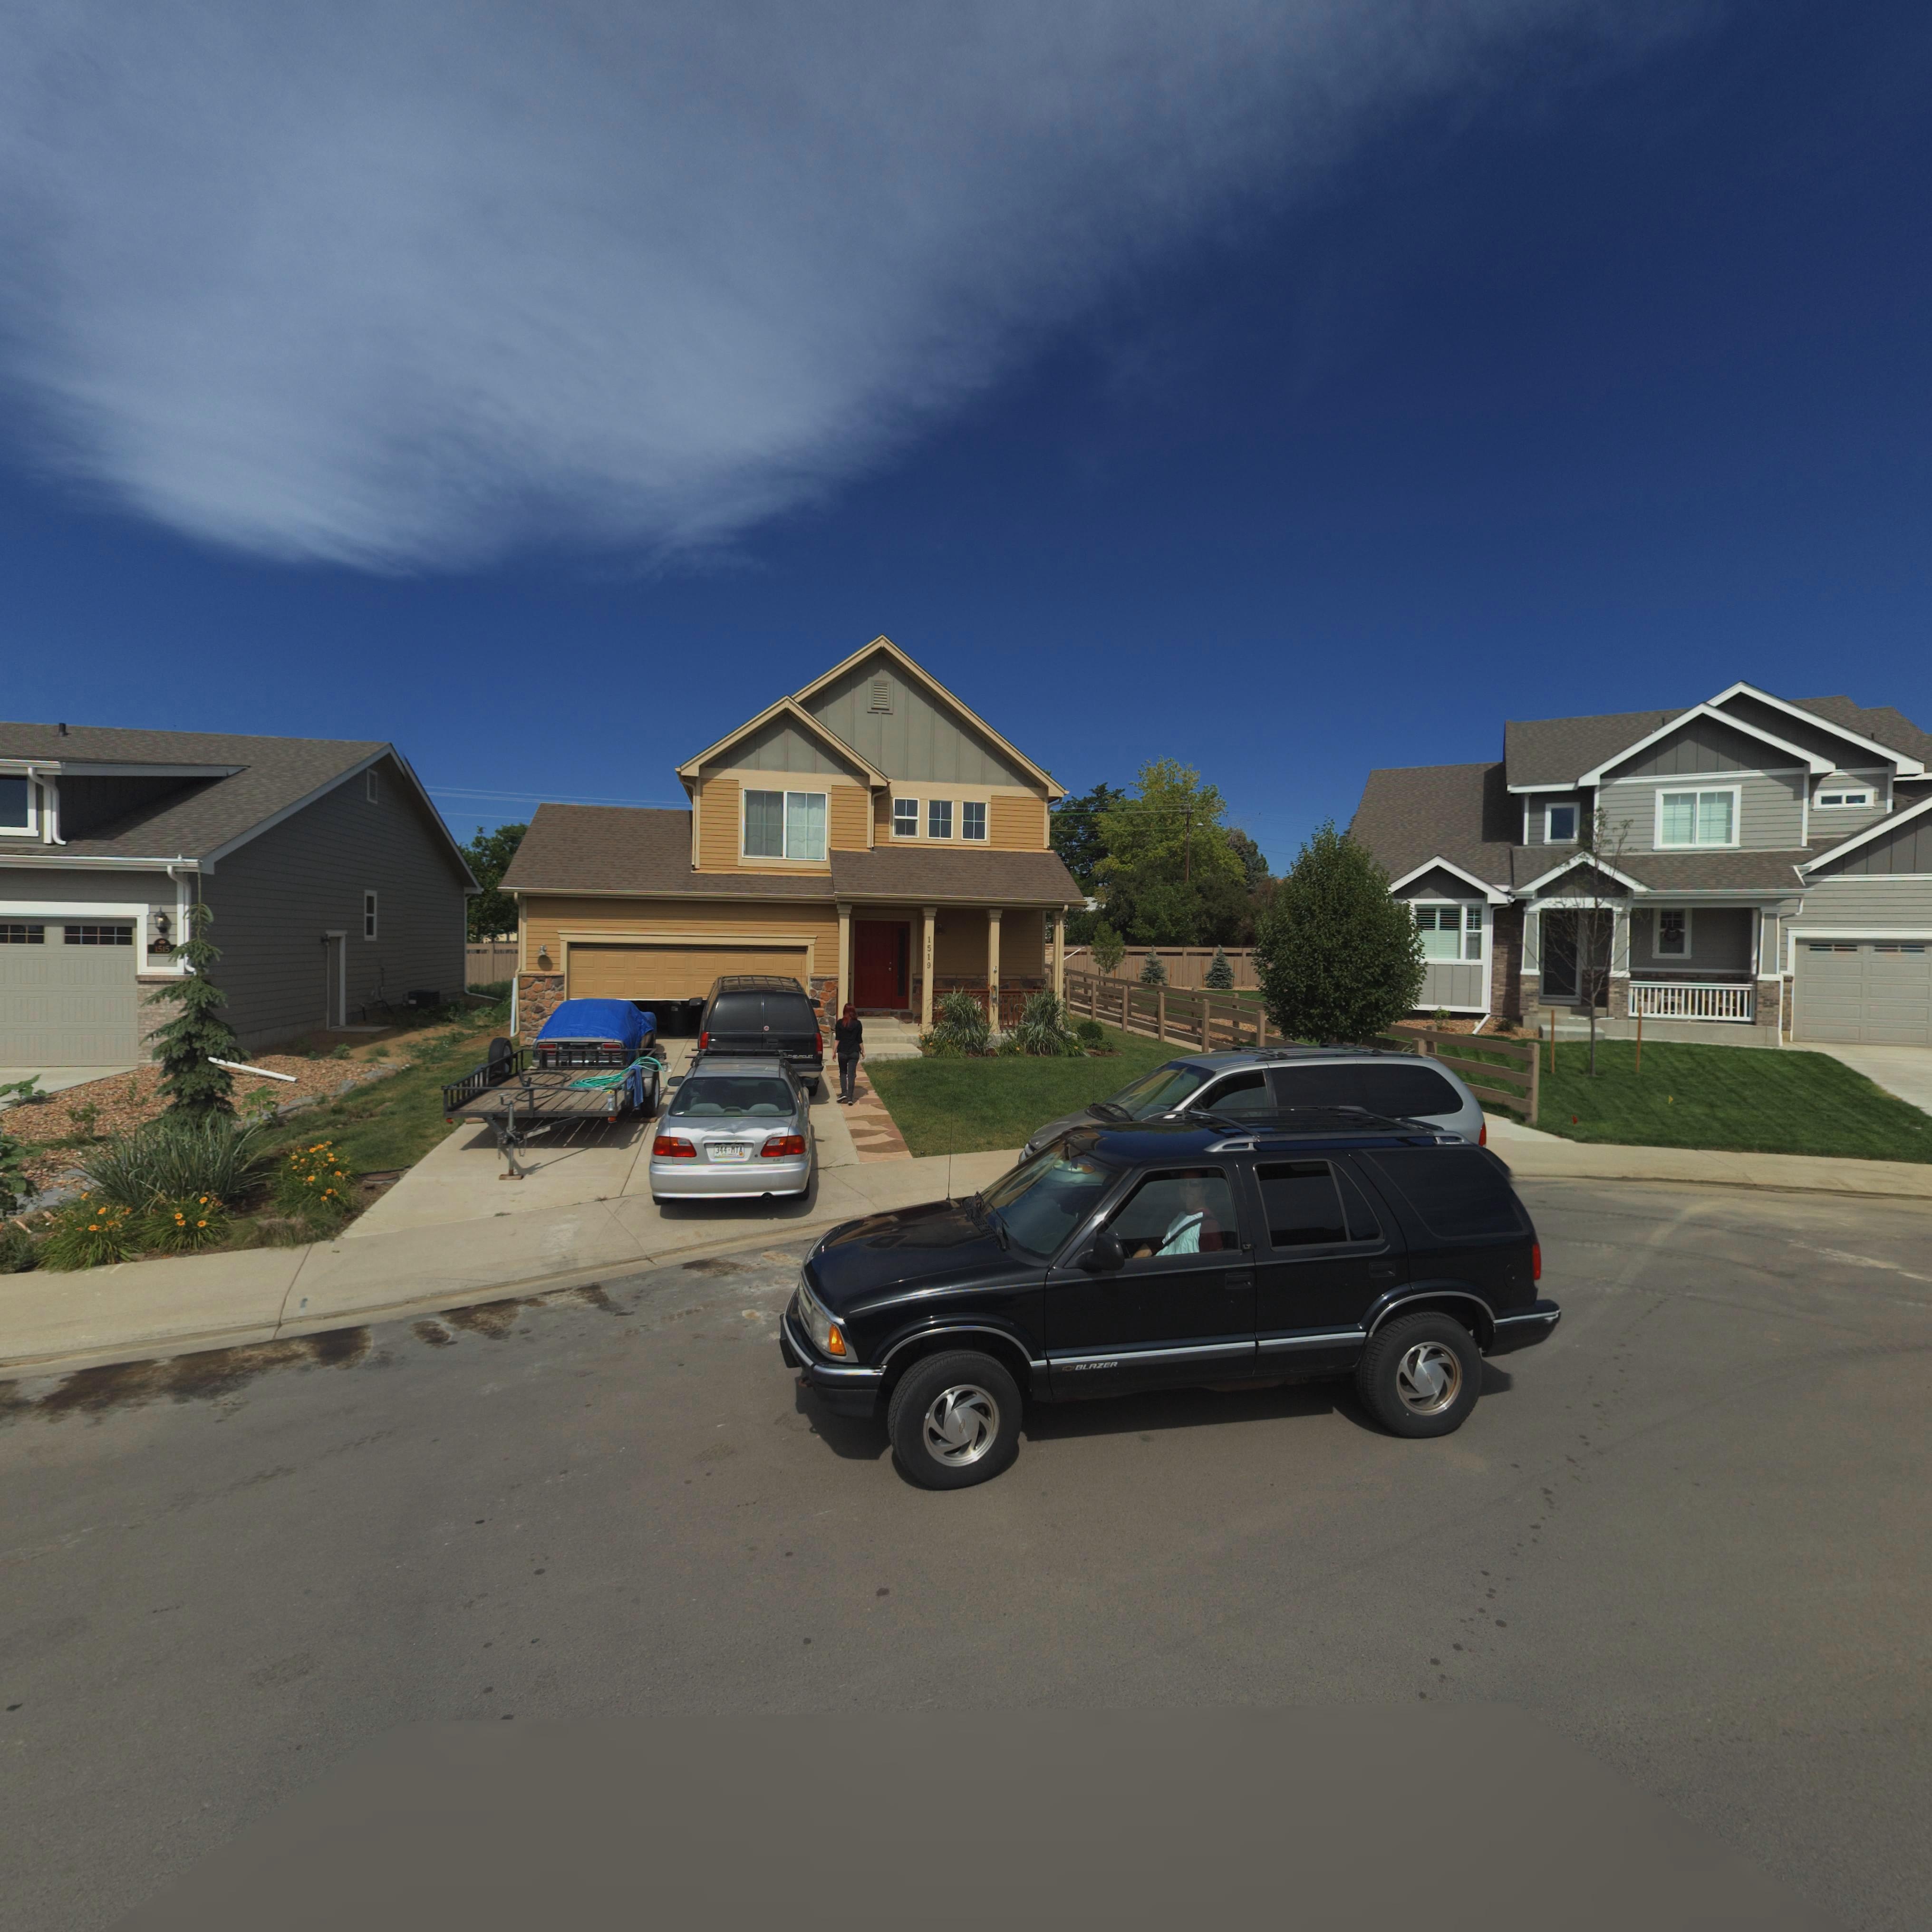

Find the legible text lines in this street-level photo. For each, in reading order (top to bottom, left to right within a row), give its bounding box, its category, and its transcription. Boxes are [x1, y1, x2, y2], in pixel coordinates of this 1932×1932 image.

[154, 945, 170, 953] StreetNumber: 1515
[927, 936, 931, 969] StreetNumber: 1519